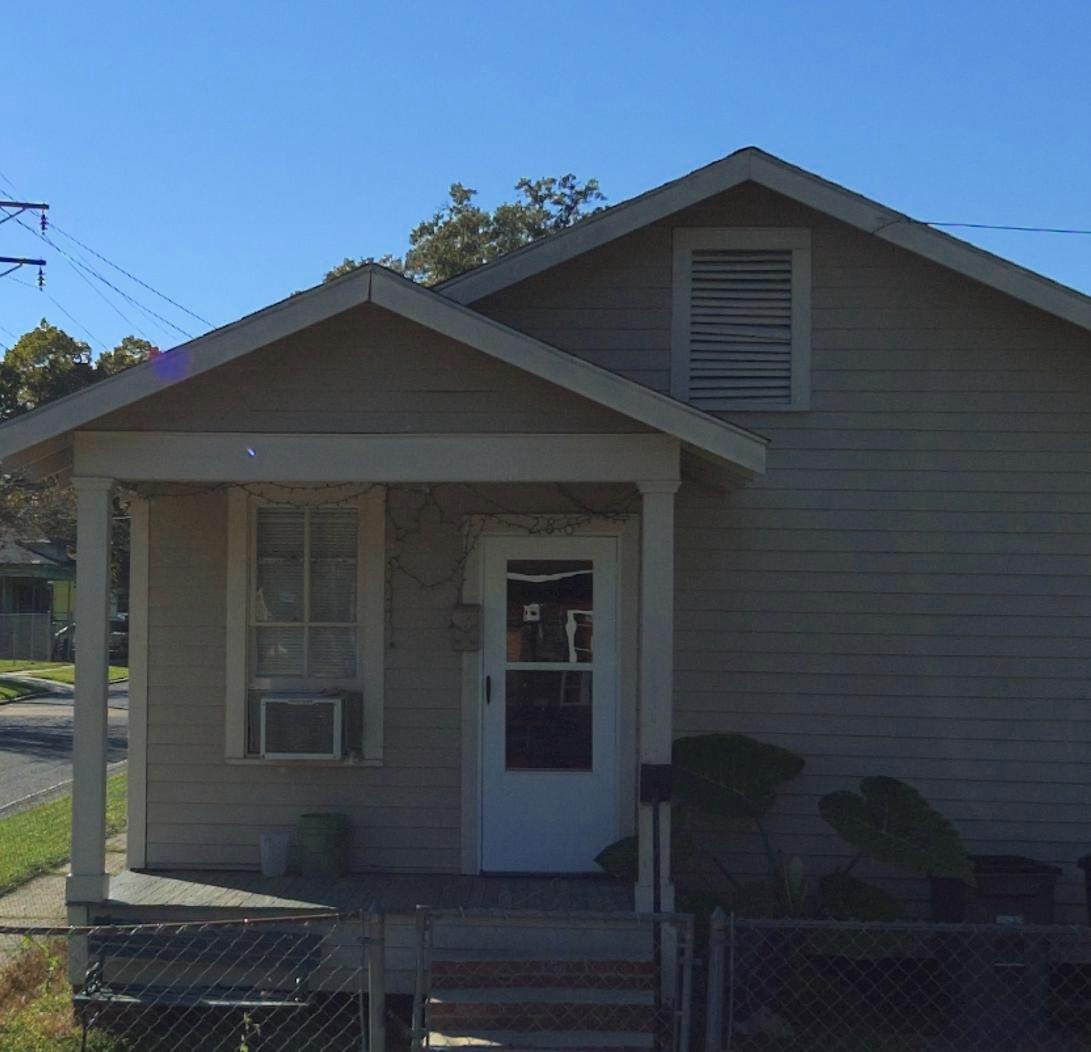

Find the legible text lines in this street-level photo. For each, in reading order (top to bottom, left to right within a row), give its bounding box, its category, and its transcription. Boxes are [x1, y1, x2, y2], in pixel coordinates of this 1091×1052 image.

[526, 513, 577, 537] StreetNumber: 286